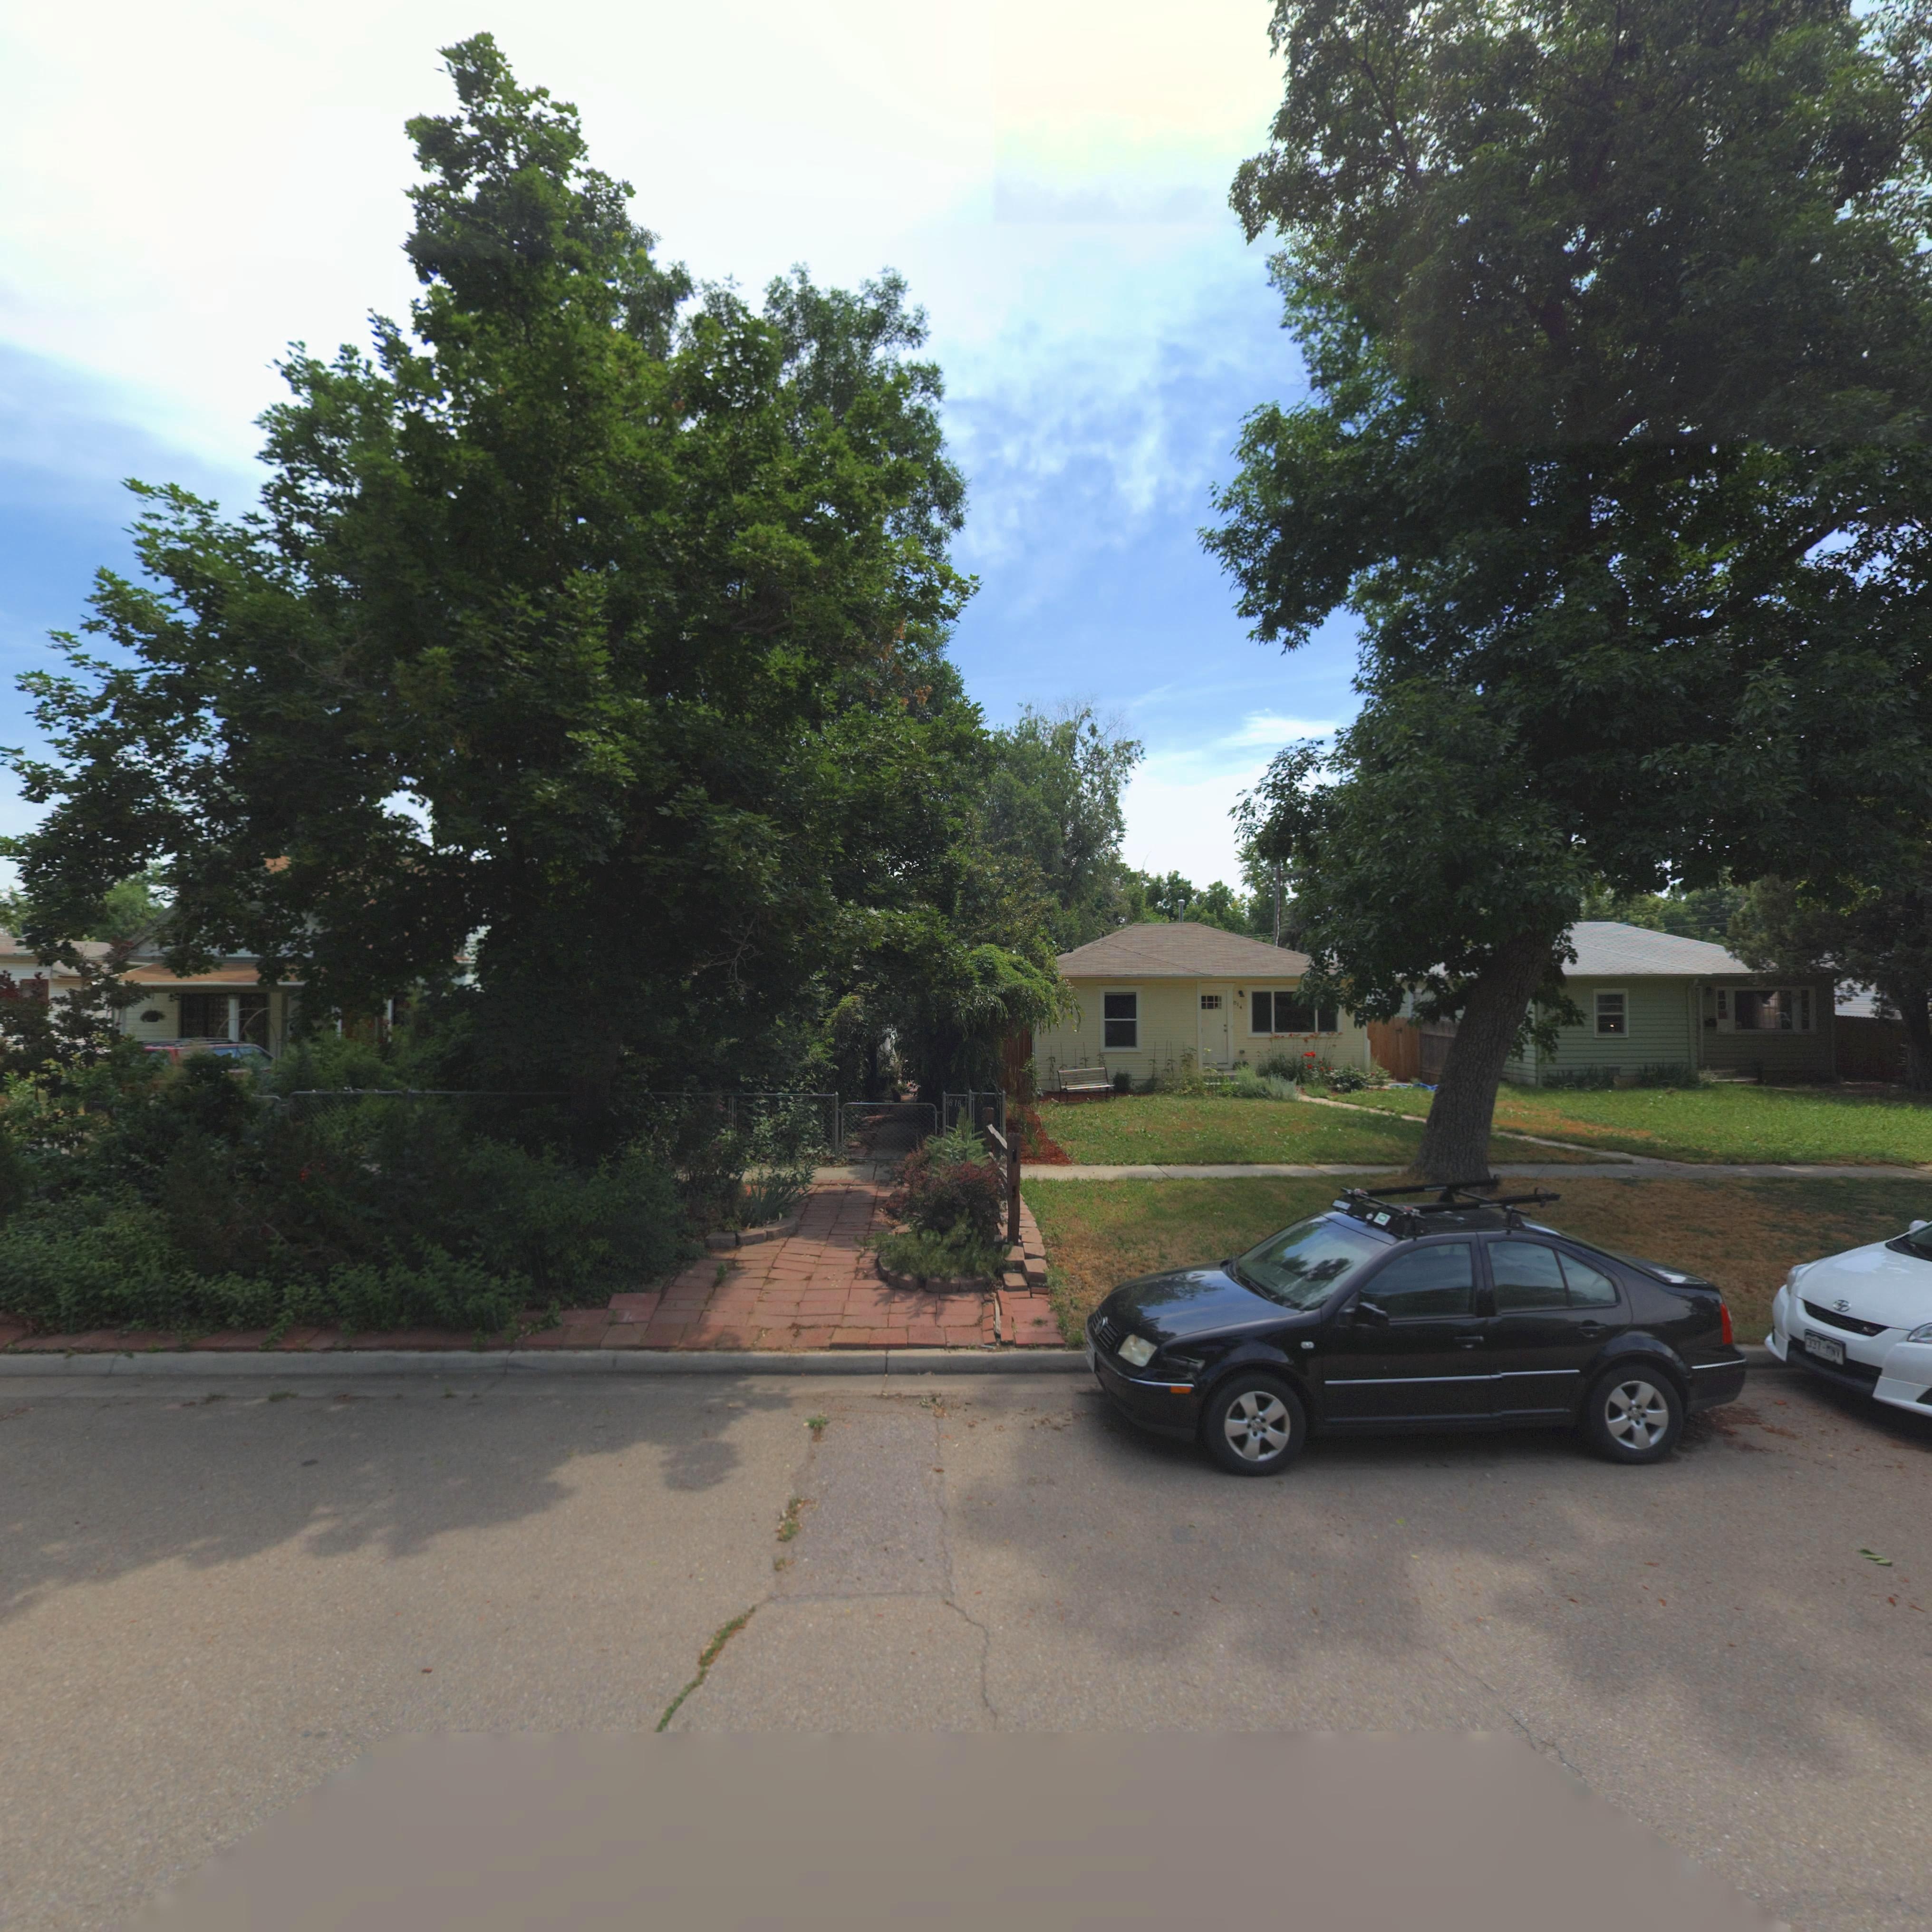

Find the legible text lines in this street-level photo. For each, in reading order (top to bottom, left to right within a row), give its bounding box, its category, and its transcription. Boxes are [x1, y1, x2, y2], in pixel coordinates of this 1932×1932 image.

[1233, 1000, 1242, 1009] StreetNumber: 814
[948, 1098, 961, 1108] StreetNumber: 818